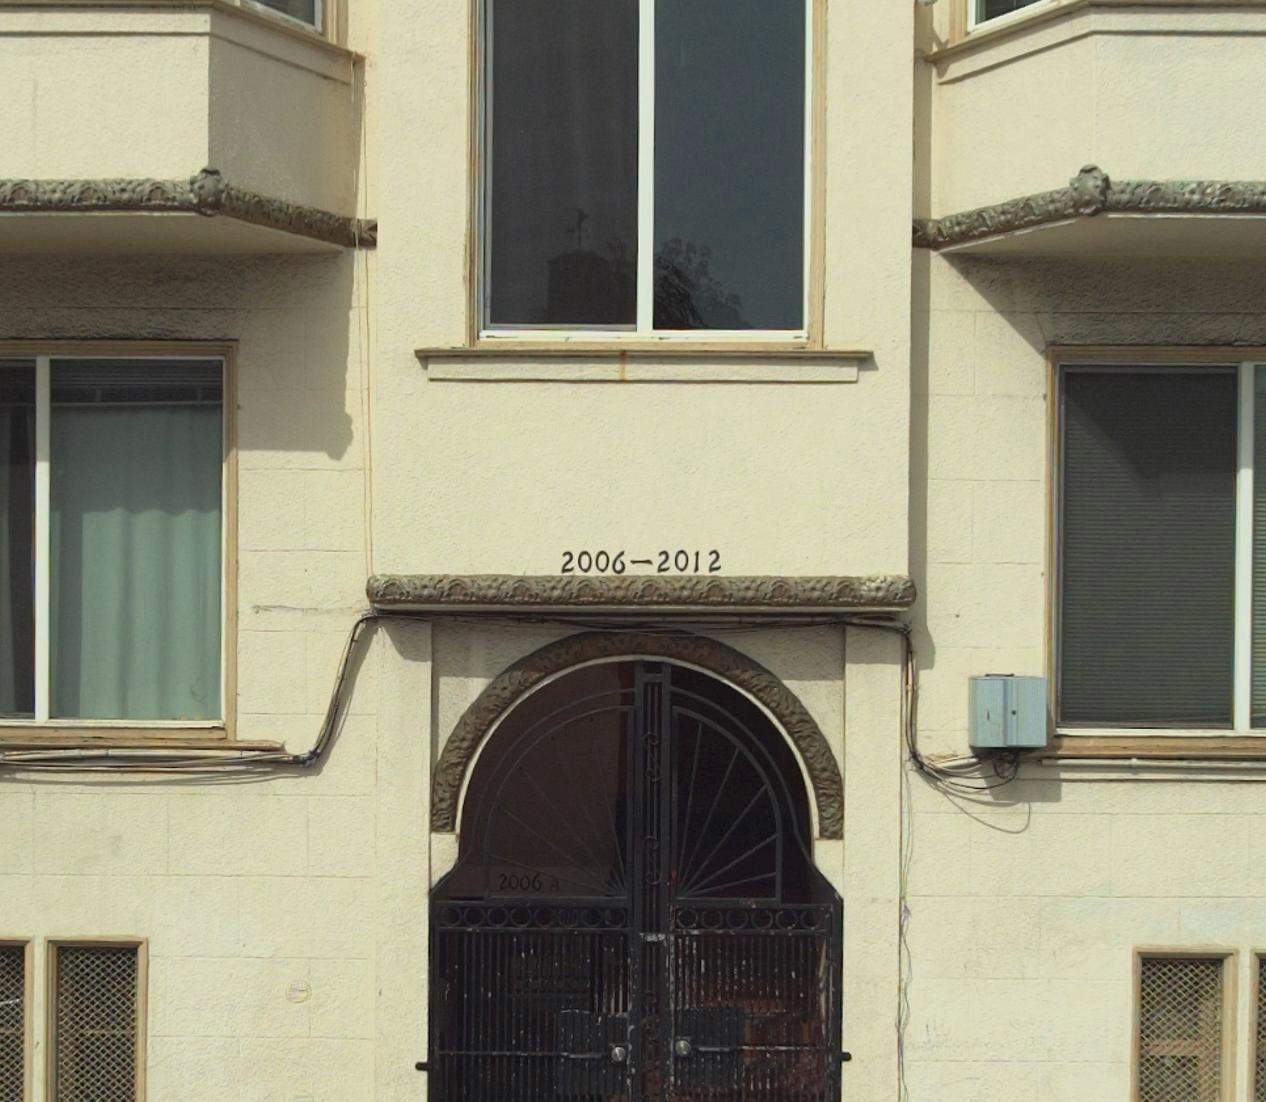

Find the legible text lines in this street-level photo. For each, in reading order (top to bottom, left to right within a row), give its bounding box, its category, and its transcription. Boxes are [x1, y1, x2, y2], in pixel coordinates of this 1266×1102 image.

[561, 549, 627, 575] StreetNumber: 2006
[656, 548, 722, 574] StreetNumber: 2012
[499, 871, 561, 893] StreetNumber: 2006 A